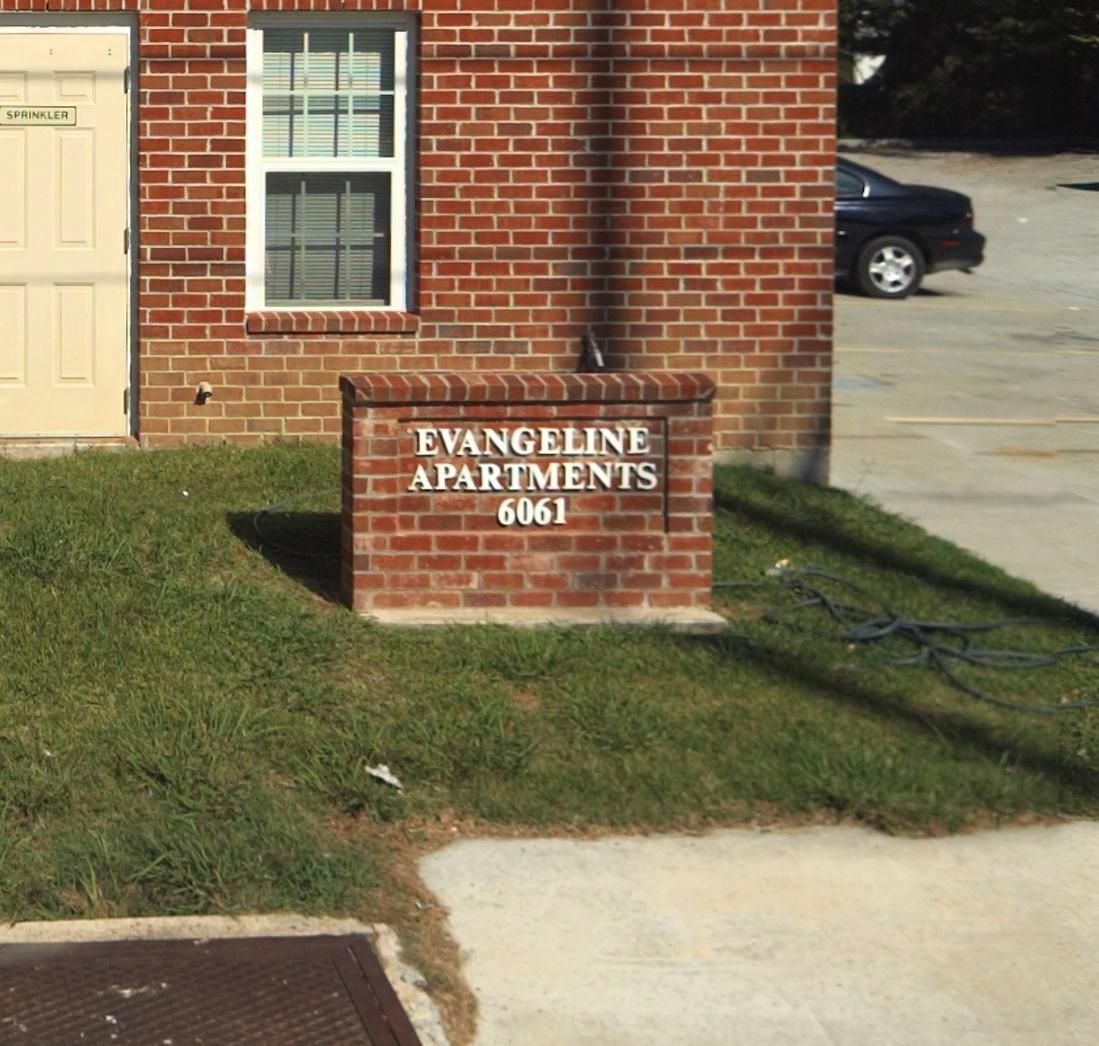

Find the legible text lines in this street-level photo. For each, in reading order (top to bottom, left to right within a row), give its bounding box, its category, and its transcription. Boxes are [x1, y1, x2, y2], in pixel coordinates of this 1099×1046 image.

[5, 109, 69, 120] None: SPRINKLER
[413, 426, 651, 457] BusinessName: EVANGELINE
[404, 461, 658, 492] BusinessName: APARTMENTS
[496, 496, 569, 526] StreetNumber: 6061